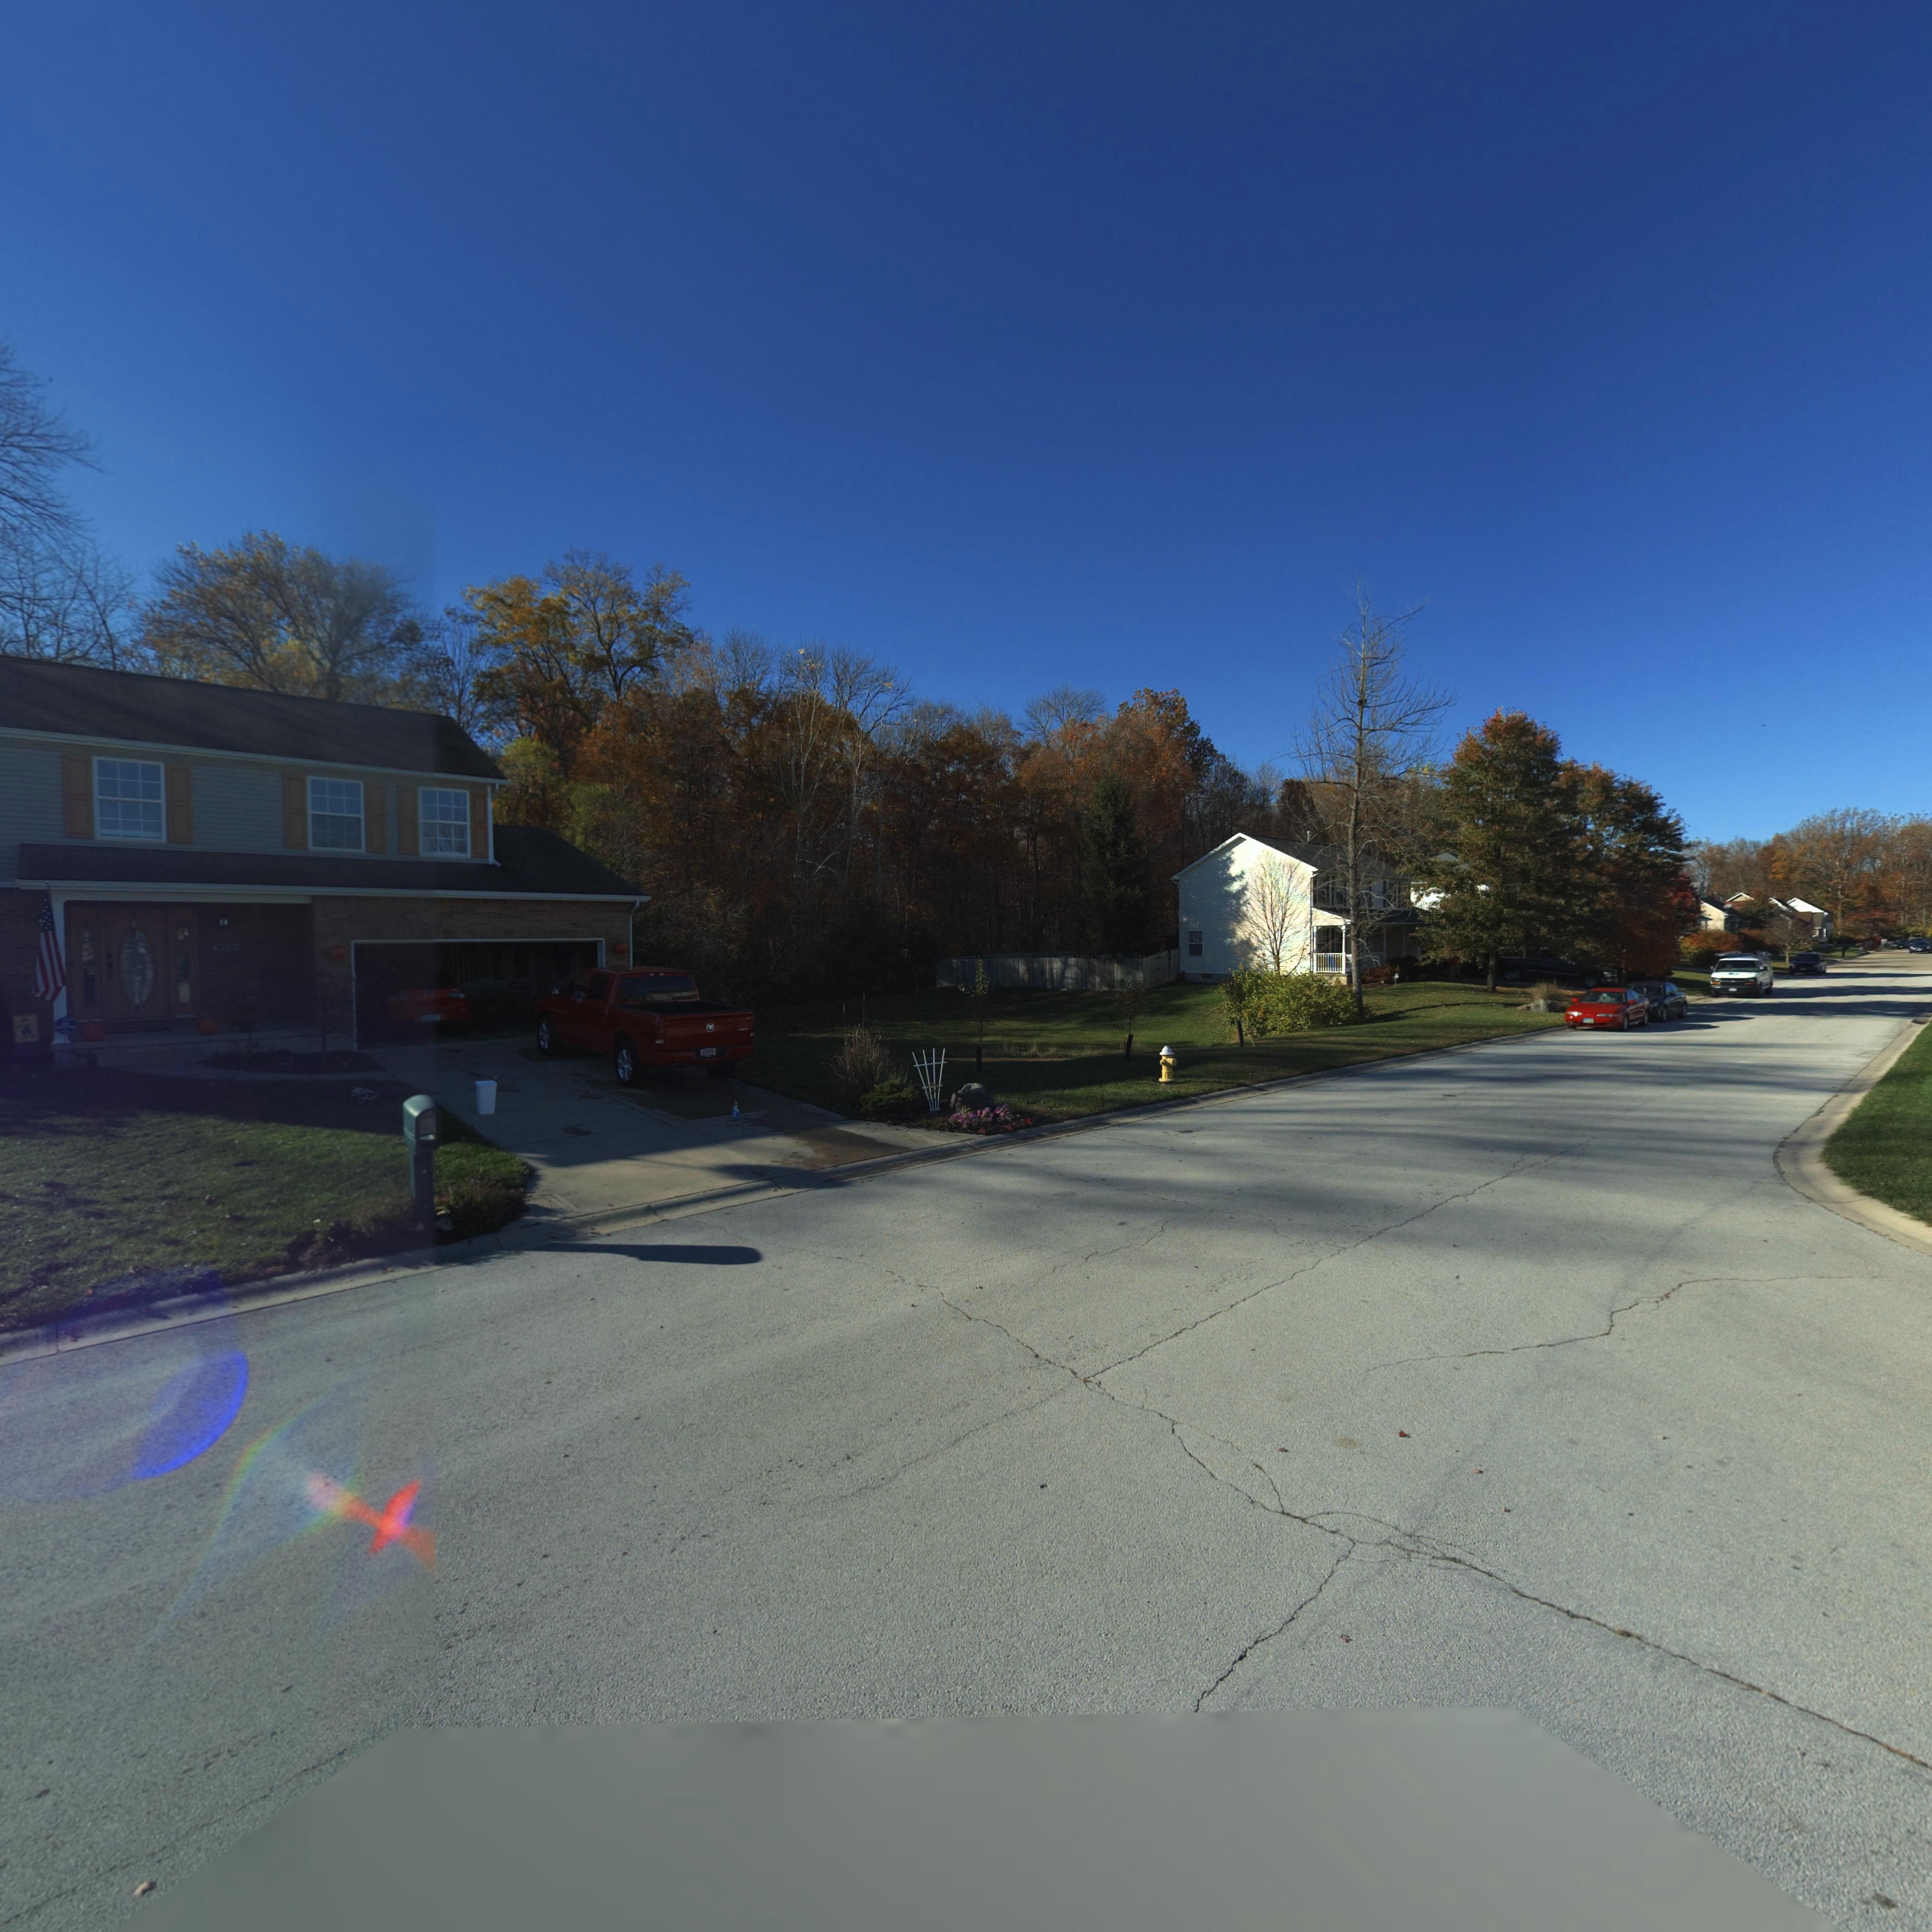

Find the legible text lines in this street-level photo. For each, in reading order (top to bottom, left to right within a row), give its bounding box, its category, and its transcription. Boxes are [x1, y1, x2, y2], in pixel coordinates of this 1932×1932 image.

[216, 944, 236, 951] StreetNumber: 6337